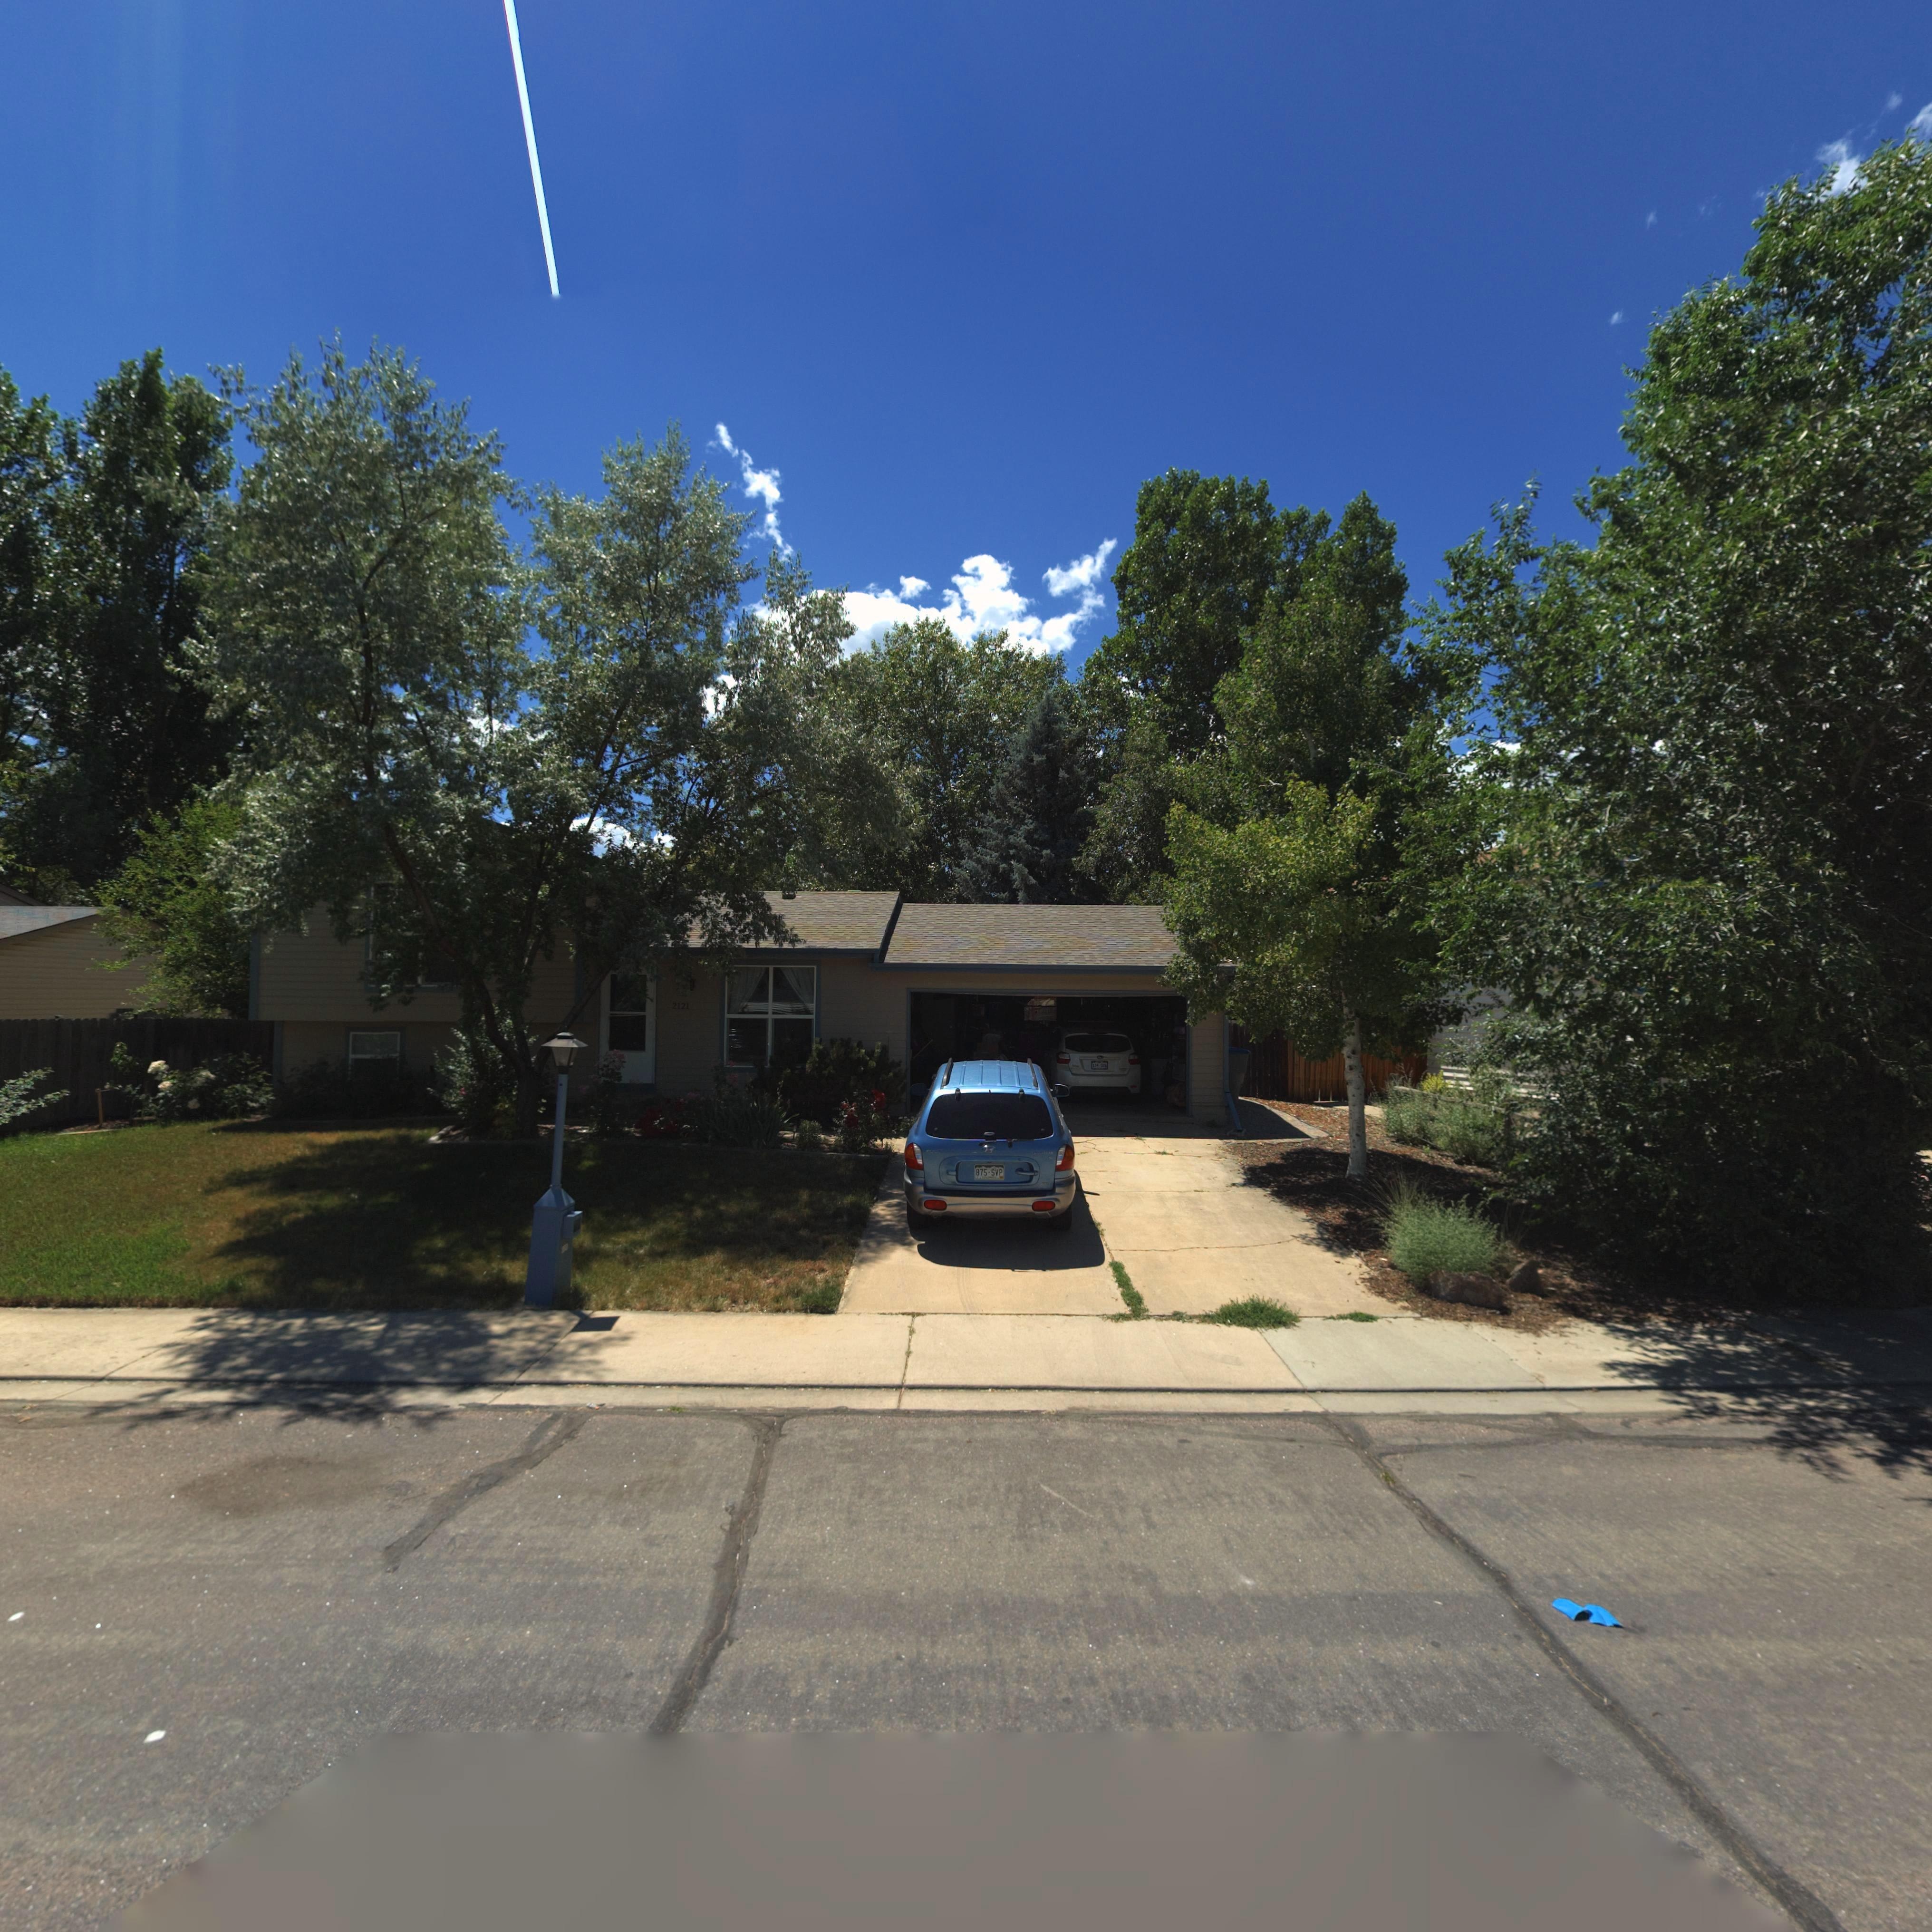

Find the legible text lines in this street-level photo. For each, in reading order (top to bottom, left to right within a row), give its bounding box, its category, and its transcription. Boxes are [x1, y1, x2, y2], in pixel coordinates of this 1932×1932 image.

[670, 1001, 690, 1010] StreetNumber: 2121